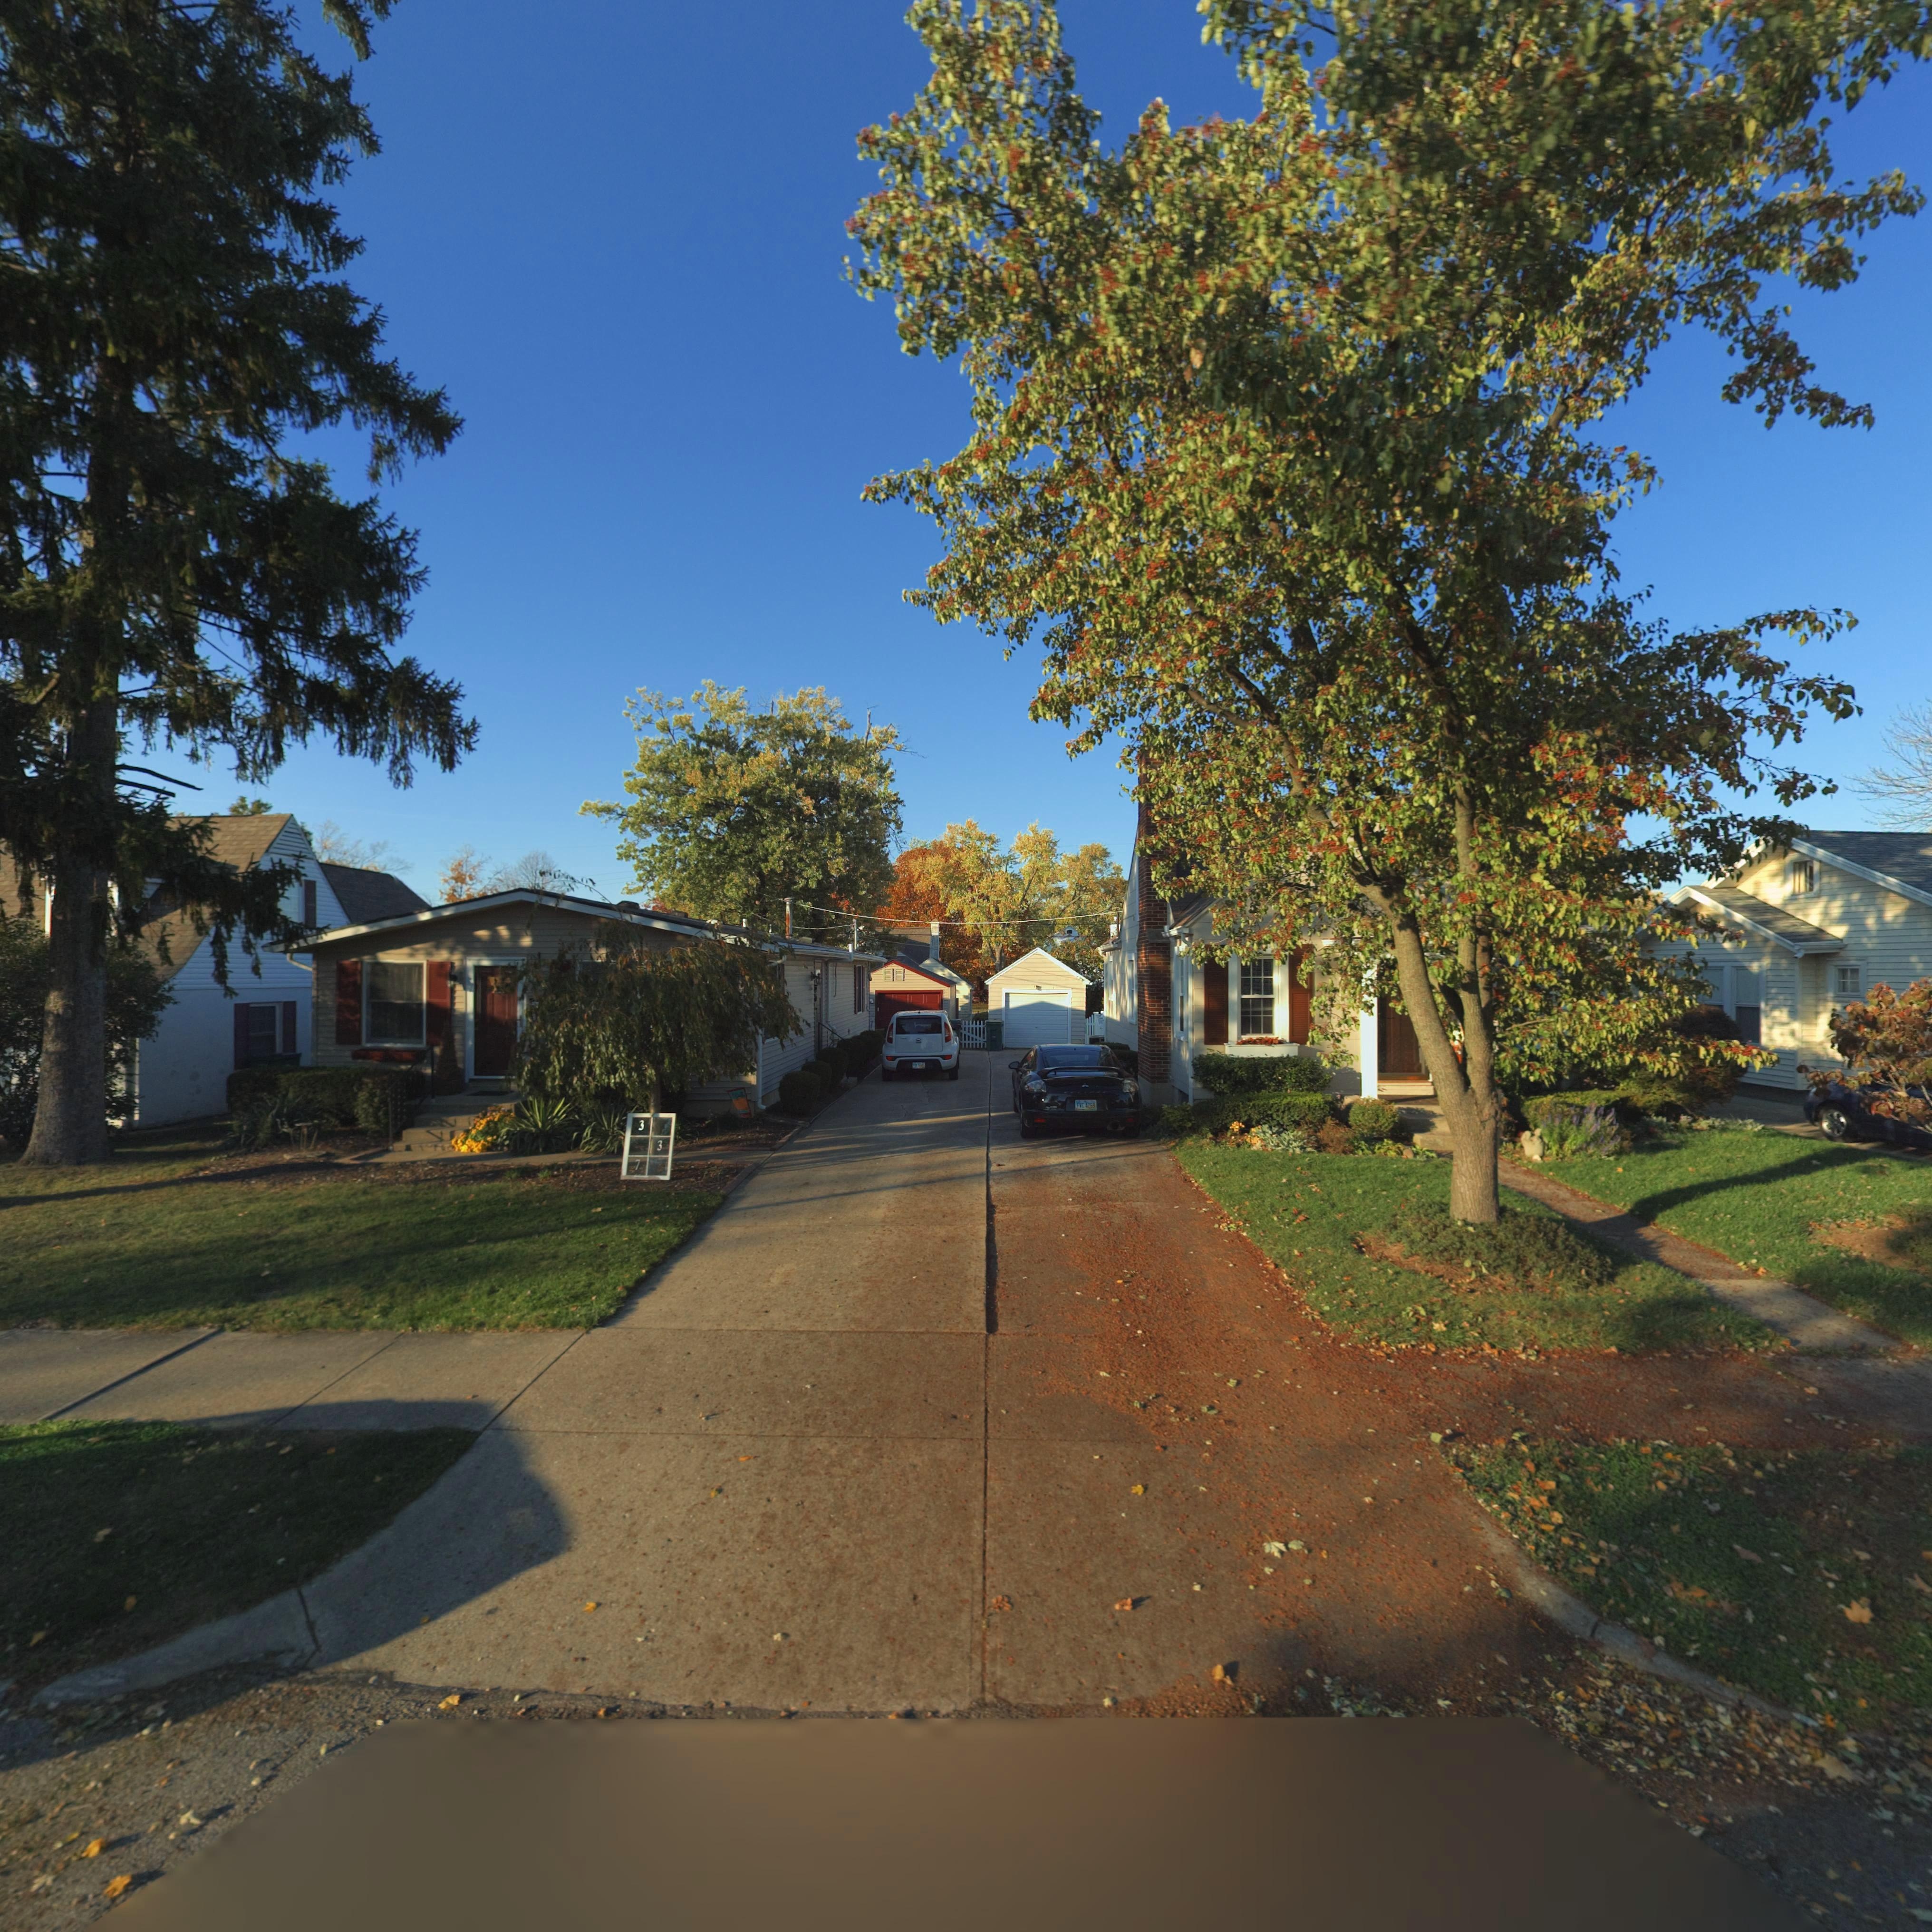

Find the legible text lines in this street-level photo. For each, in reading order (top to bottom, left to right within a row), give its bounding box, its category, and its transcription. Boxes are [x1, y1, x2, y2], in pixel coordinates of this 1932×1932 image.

[637, 1118, 646, 1131] StreetNumber: 3
[656, 1139, 664, 1152] StreetNumber: 3
[634, 1158, 642, 1171] StreetNumber: 7